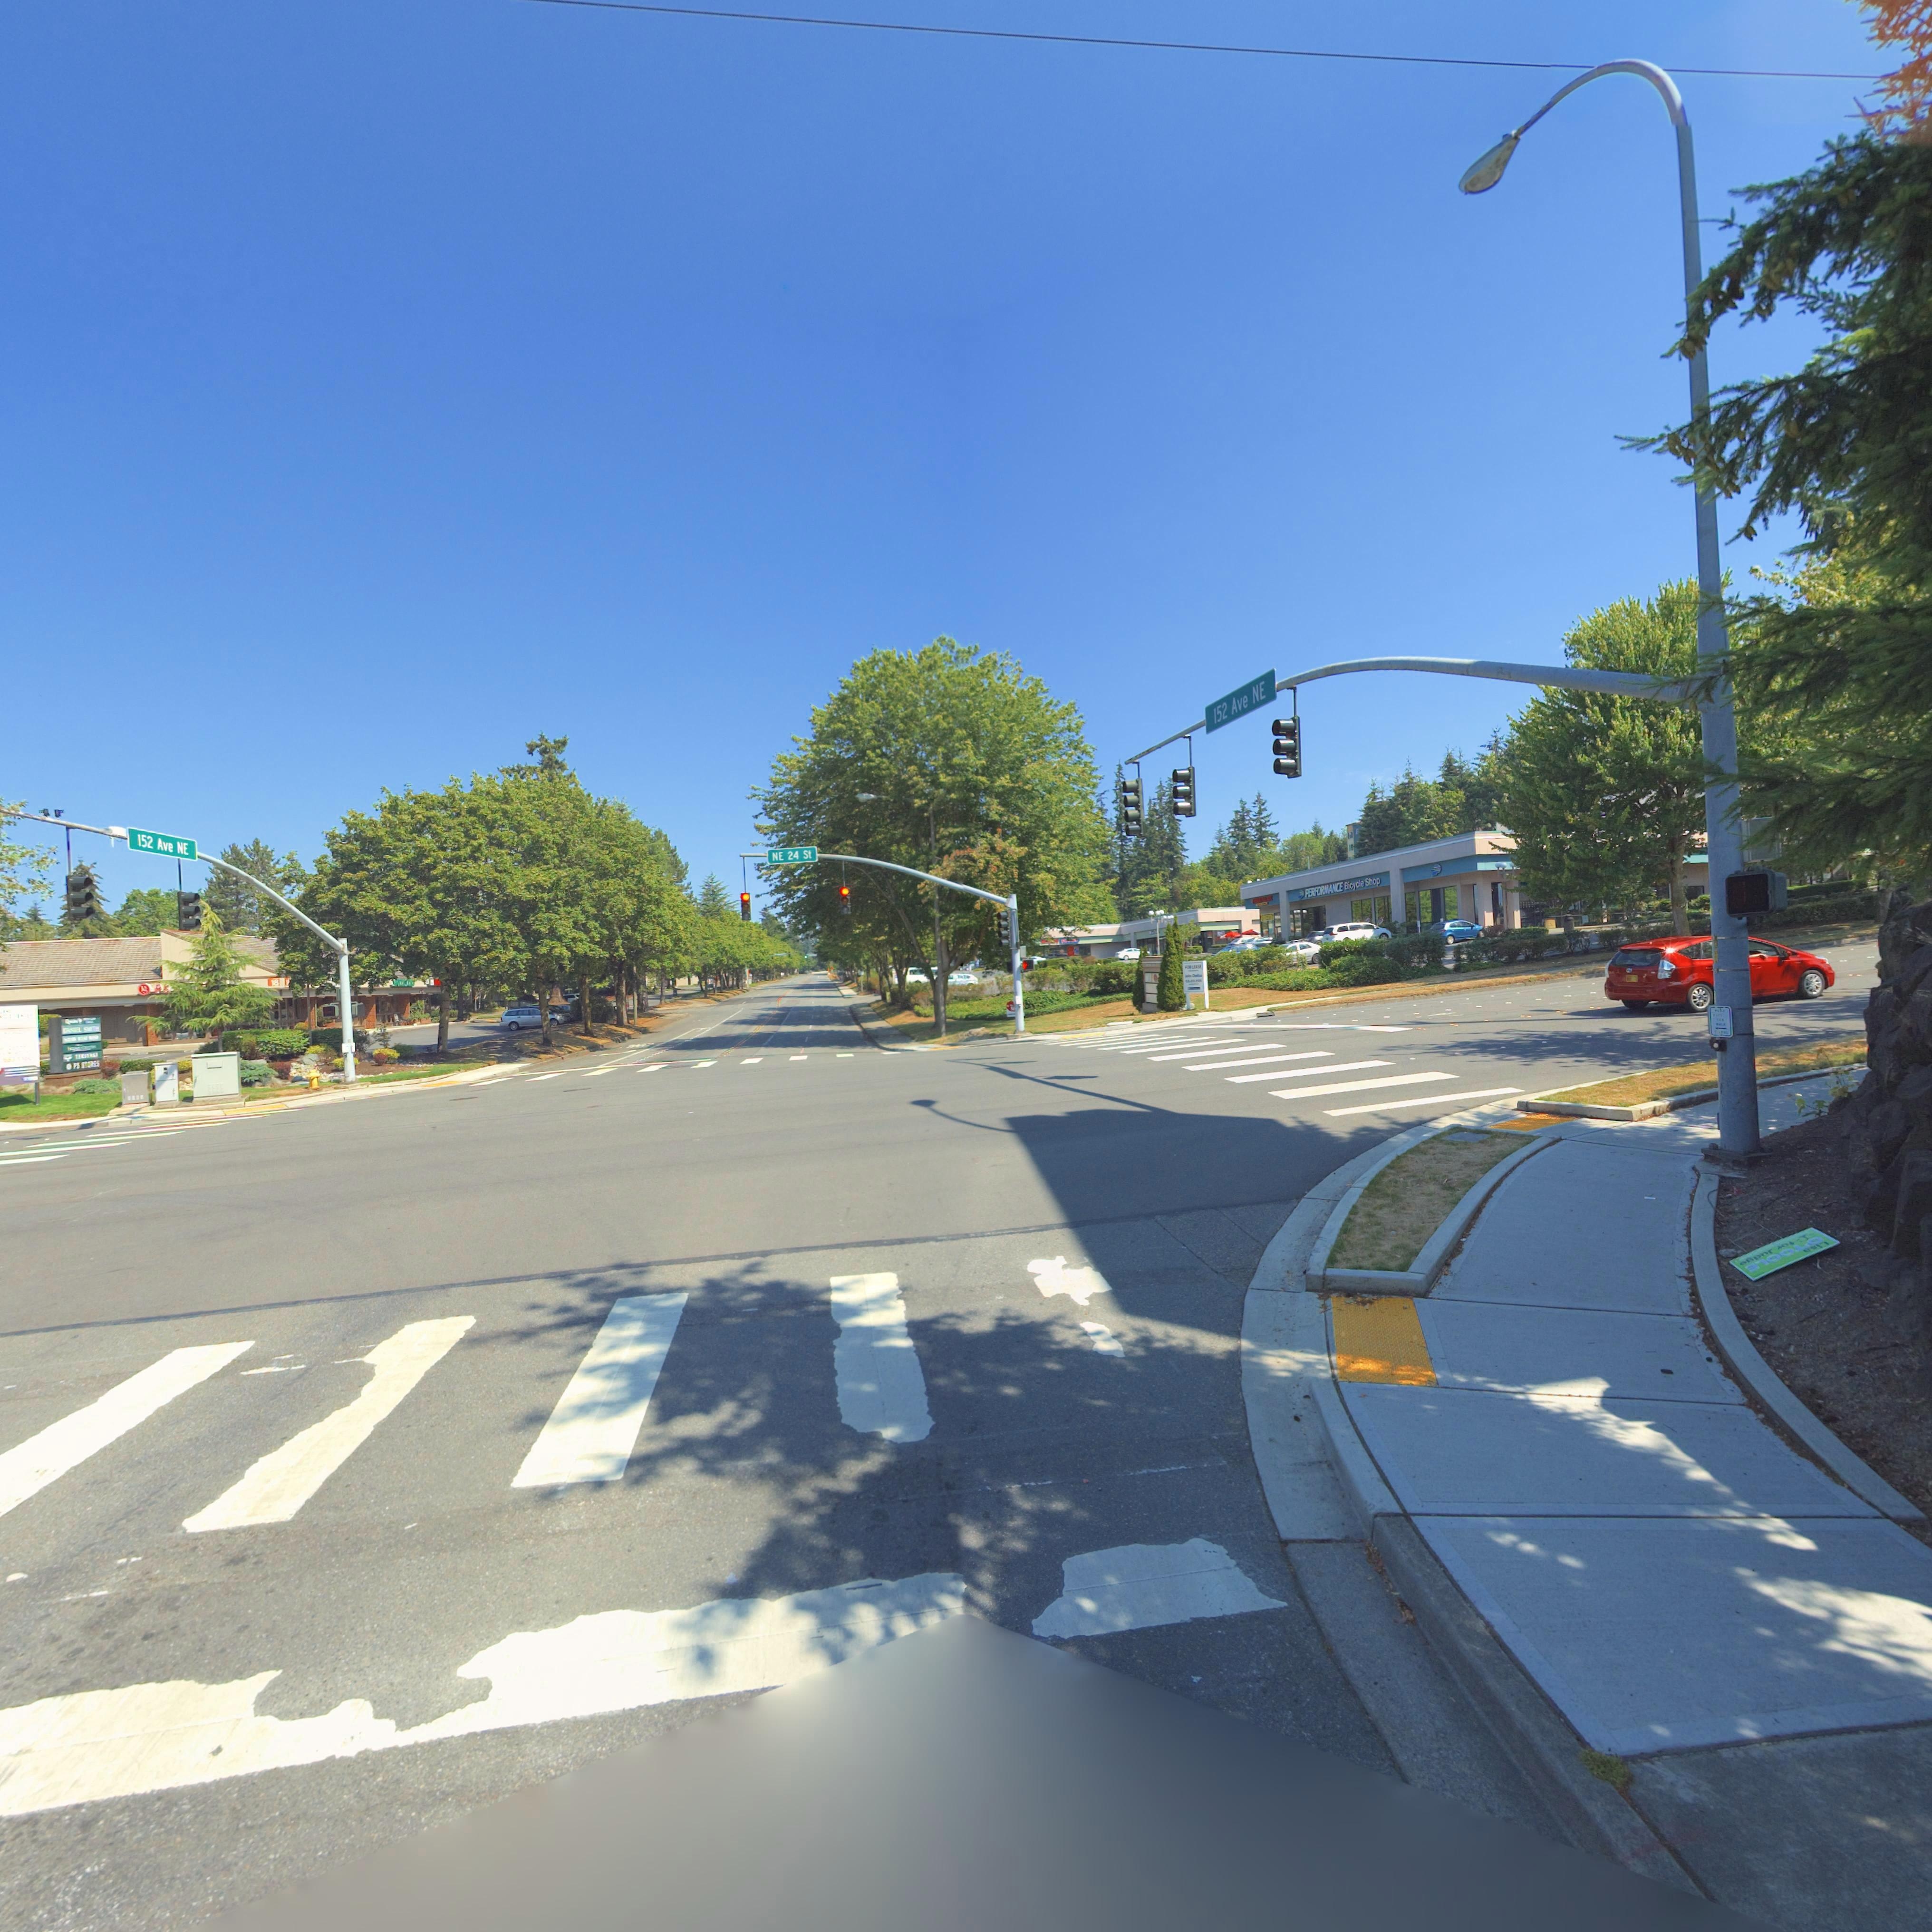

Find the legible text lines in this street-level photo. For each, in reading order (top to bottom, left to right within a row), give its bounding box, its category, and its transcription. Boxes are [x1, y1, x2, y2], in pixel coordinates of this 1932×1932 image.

[1214, 680, 1266, 724] StreetName: 152 Ave NE
[138, 834, 188, 855] StreetName: 152 Ave NE
[772, 850, 811, 860] StreetName: NE 24 St
[1304, 875, 1381, 898] BusinessName: PERFORMANCE Bicycle Shop